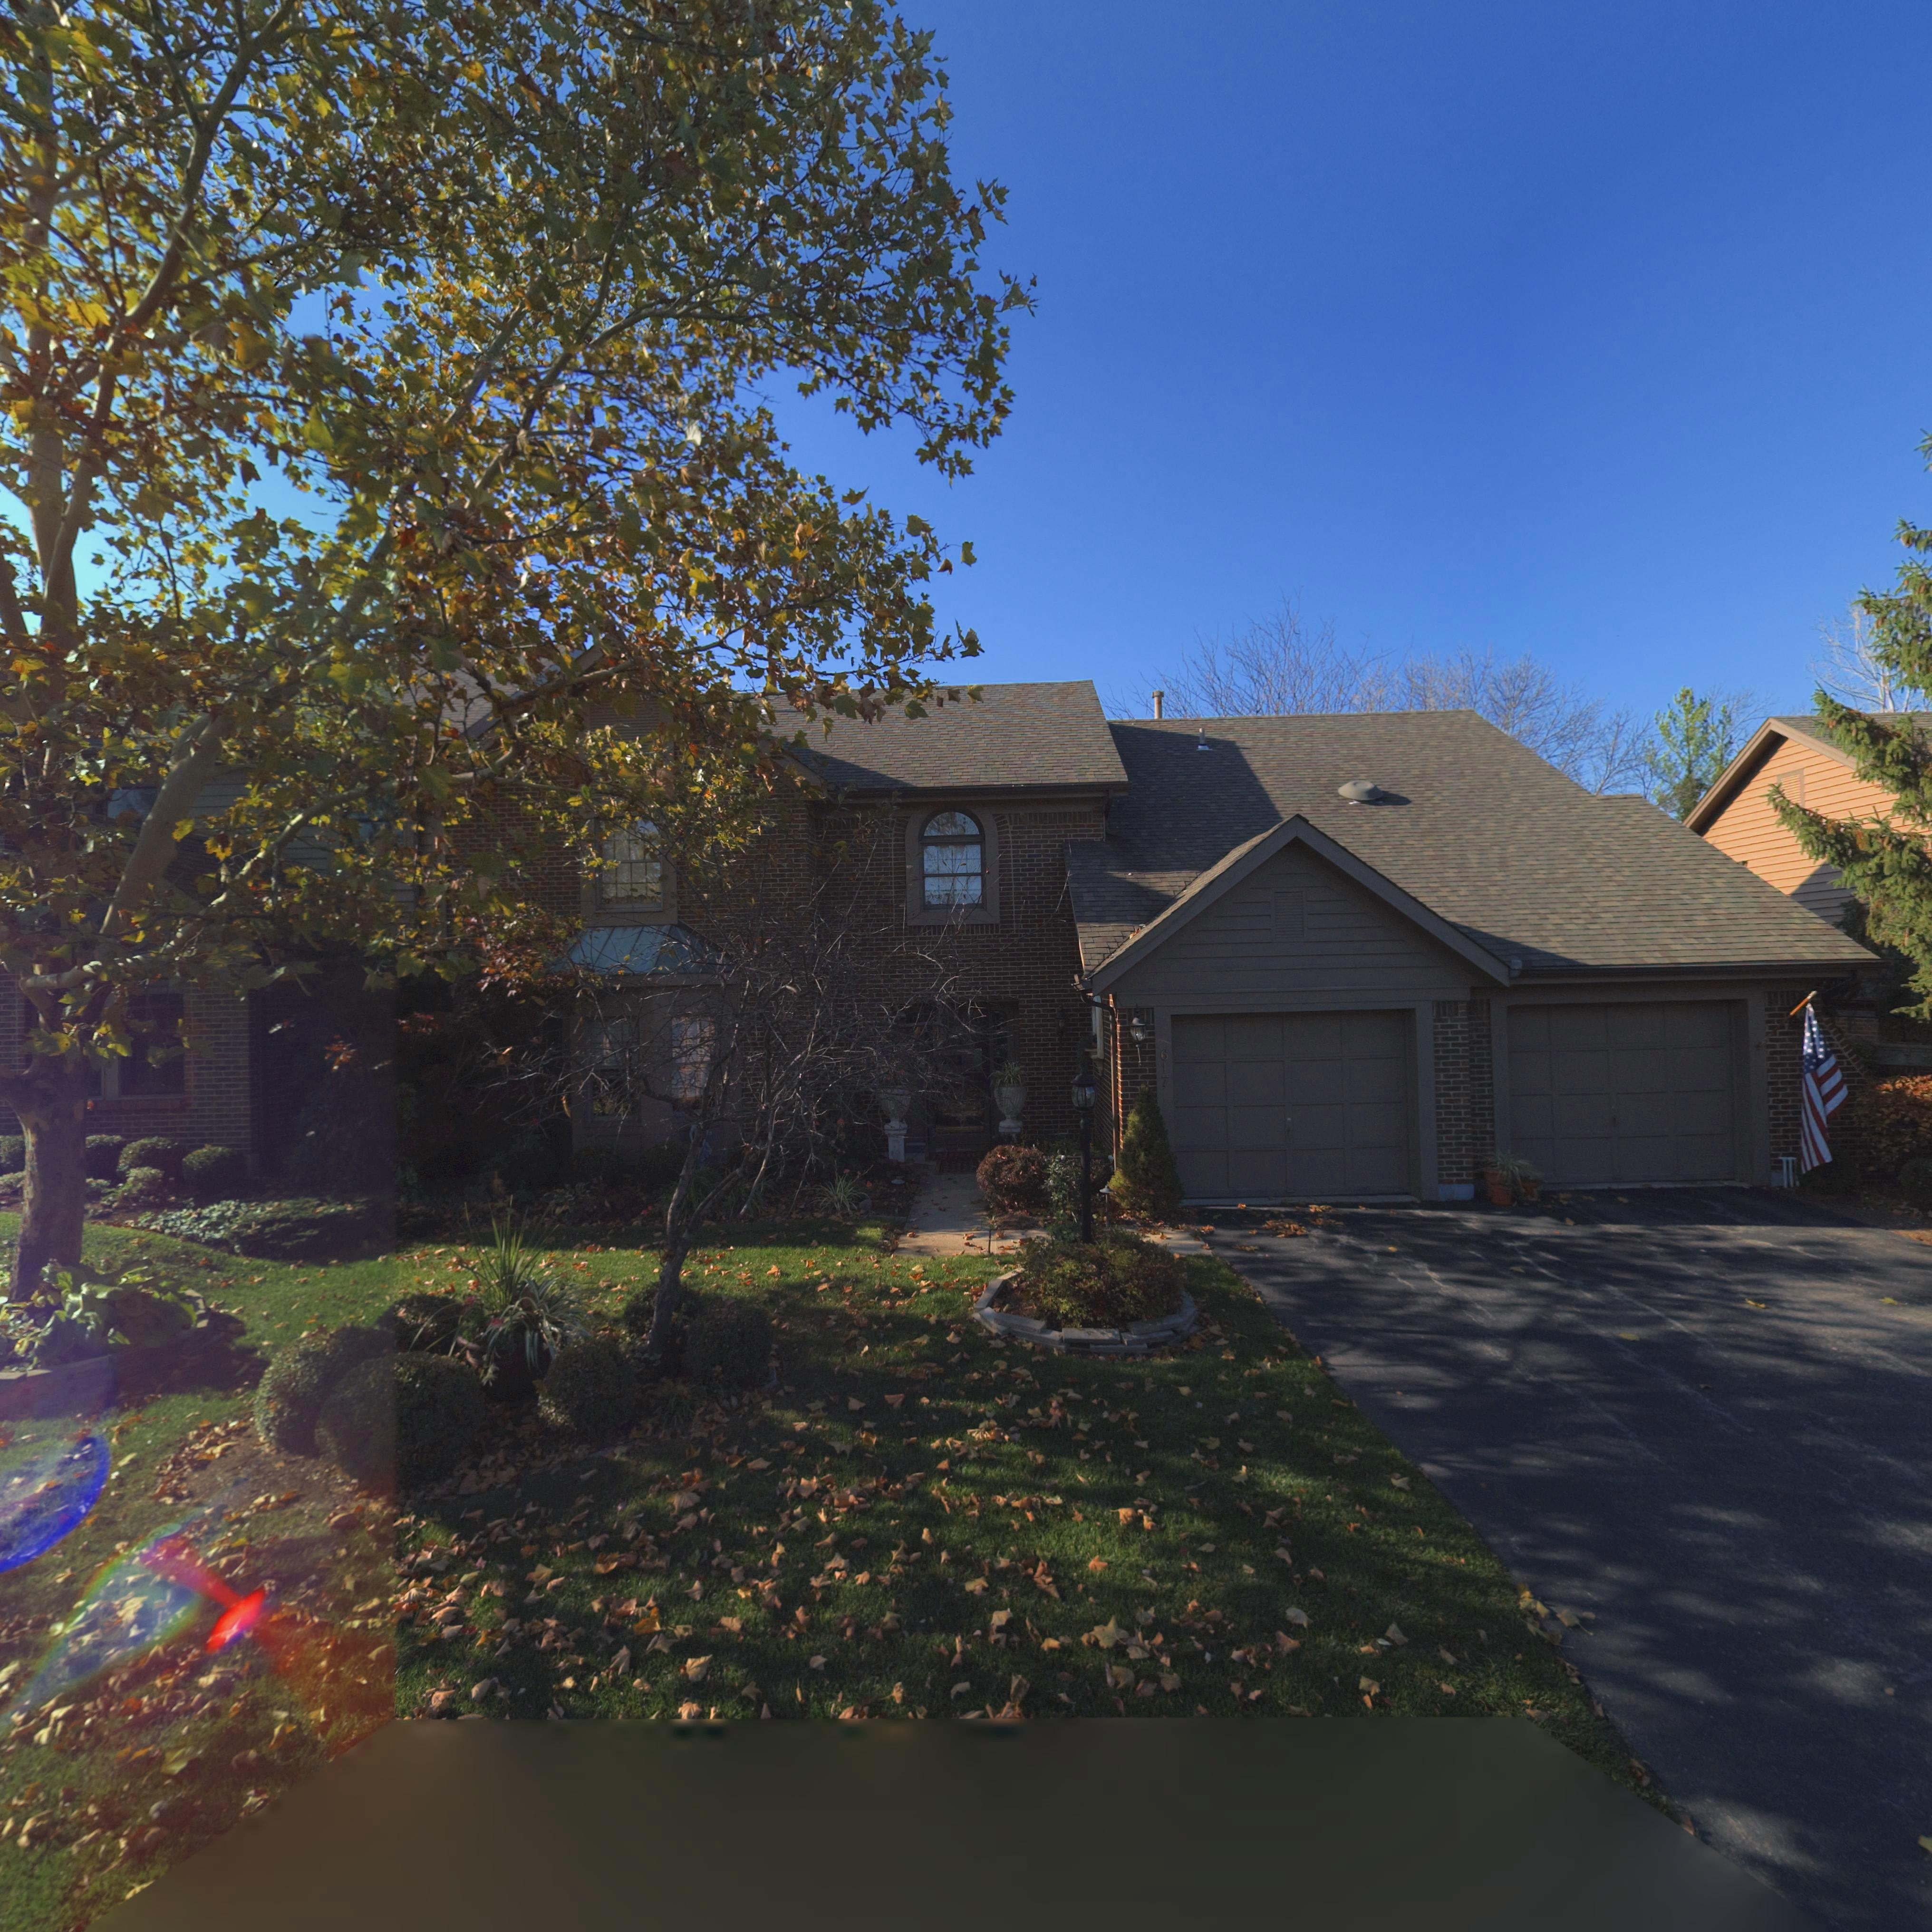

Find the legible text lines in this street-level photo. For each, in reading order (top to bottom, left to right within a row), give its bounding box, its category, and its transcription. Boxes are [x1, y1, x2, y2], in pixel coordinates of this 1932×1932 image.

[1159, 1048, 1169, 1088] StreetNumber: 617